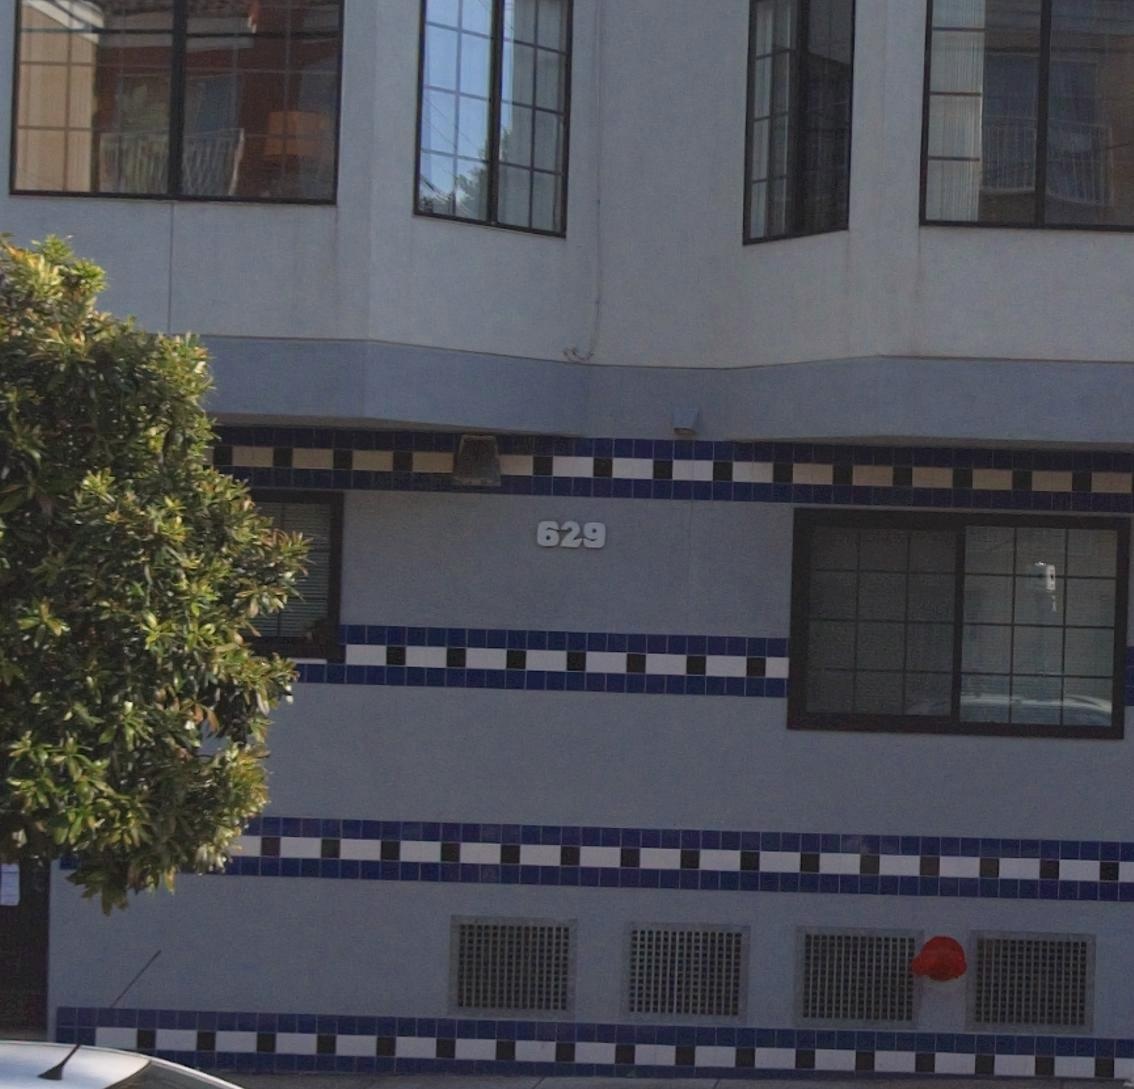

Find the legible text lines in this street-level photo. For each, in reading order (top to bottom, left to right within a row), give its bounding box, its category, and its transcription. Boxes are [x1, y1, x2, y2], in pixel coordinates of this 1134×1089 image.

[534, 516, 608, 552] StreetNumber: 629